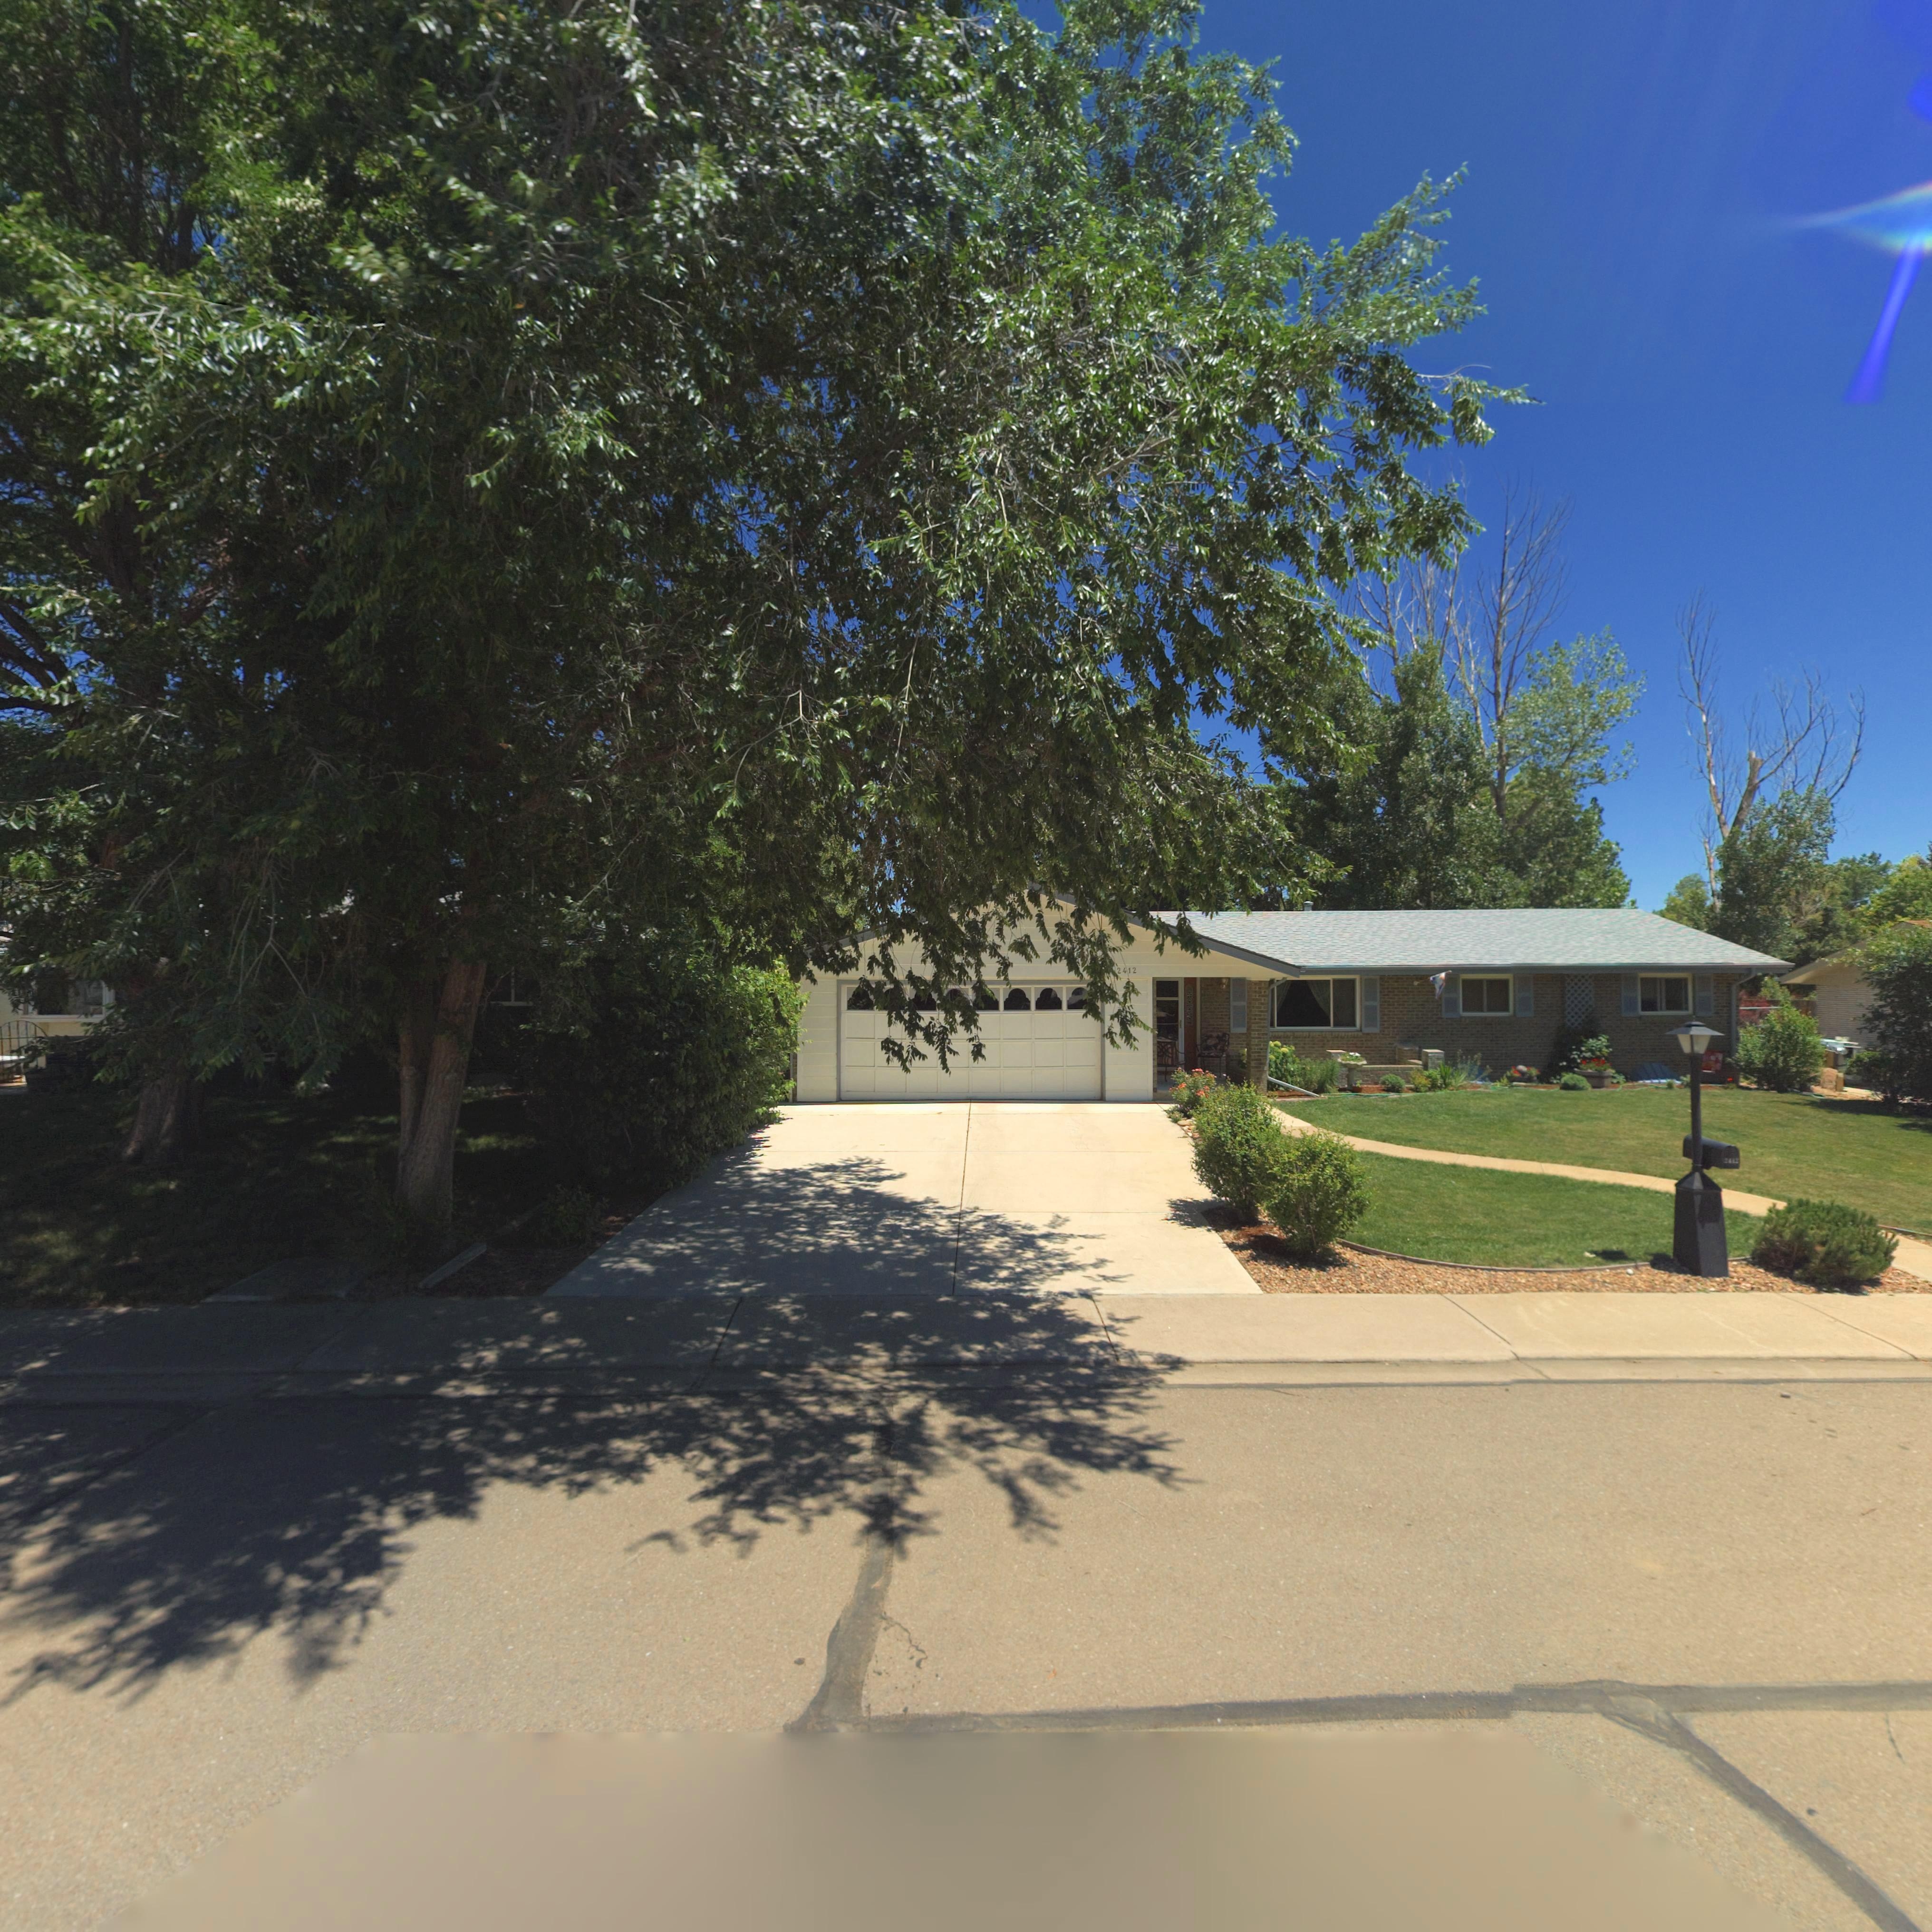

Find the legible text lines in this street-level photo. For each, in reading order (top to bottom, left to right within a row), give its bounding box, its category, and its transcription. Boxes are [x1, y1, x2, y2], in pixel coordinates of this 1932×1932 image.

[1116, 966, 1137, 974] StreetNumber: 2412
[1723, 1157, 1739, 1164] StreetNumber: 2***